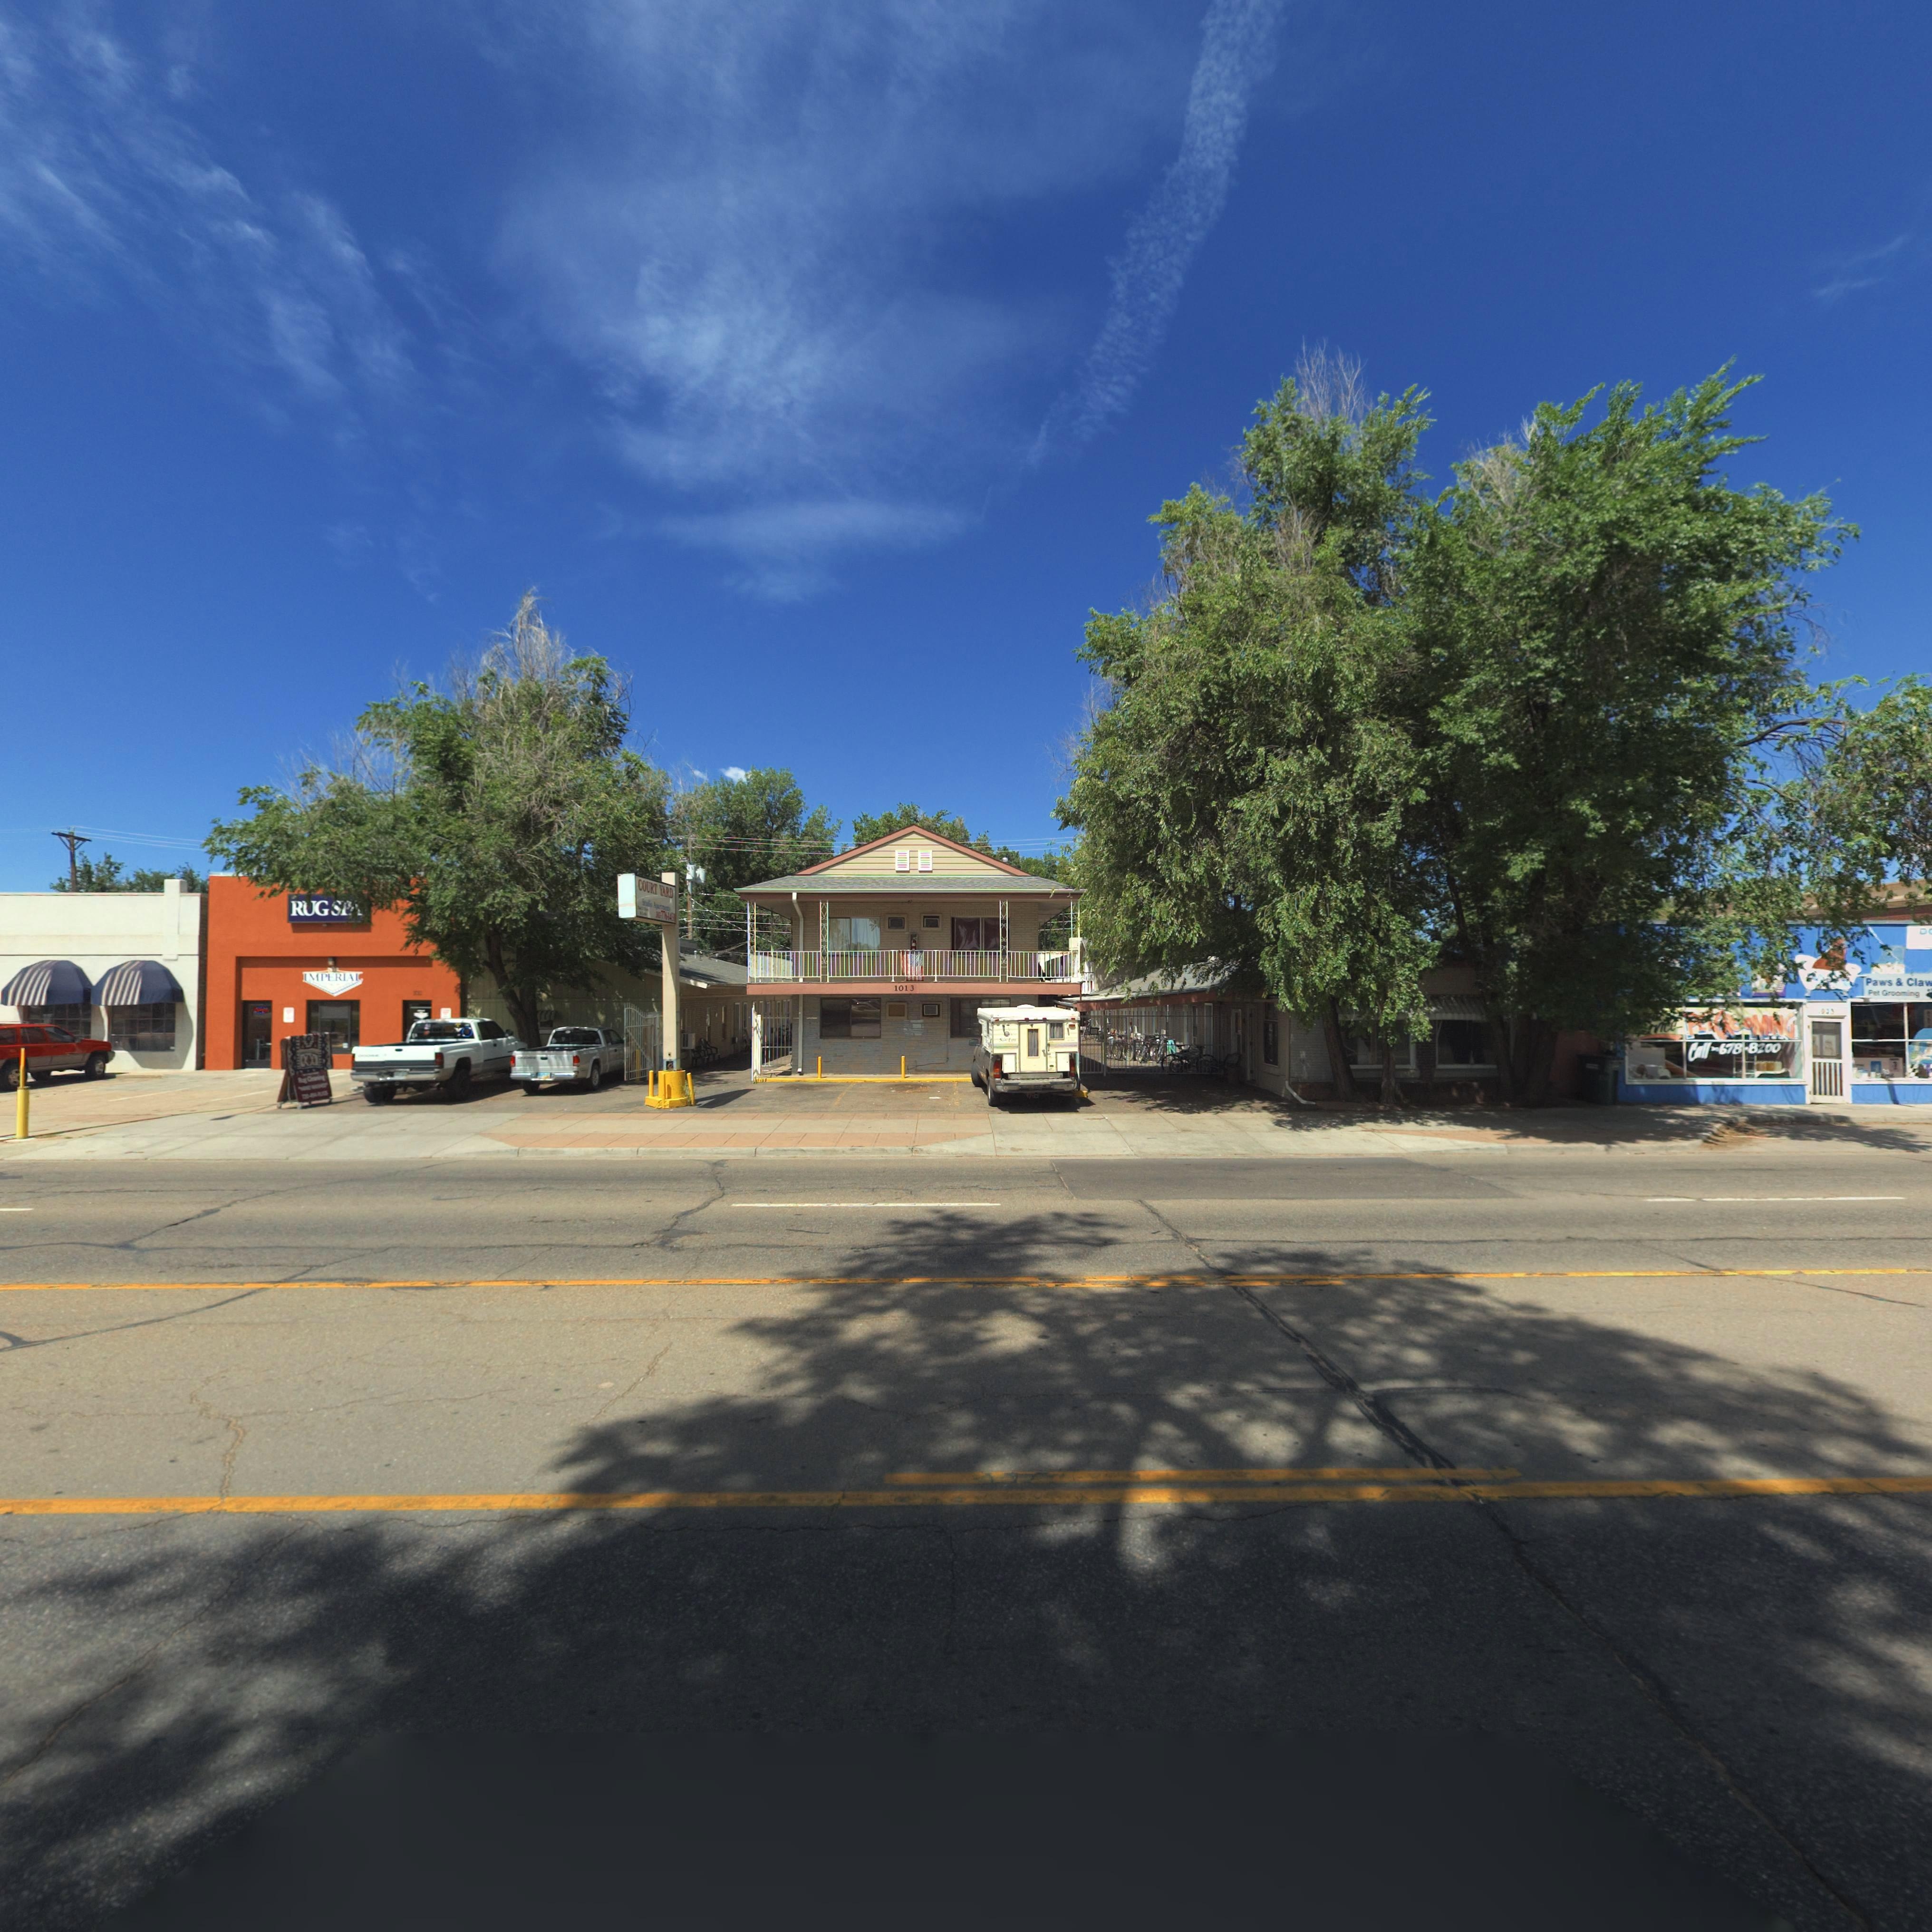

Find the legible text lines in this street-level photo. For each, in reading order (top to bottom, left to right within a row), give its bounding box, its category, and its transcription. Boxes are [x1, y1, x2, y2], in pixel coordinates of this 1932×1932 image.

[638, 879, 674, 898] BusinessName: COURT YARD
[290, 899, 364, 916] BusinessName: RUG ***
[642, 898, 670, 911] BusinessName: S**** A*****
[303, 973, 362, 981] BusinessName: IMPERIAL
[1865, 977, 1924, 986] BusinessName: Paws & Cla
[894, 984, 914, 991] StreetNumber: 1013
[1821, 1007, 1835, 1014] StreetNumber: 023